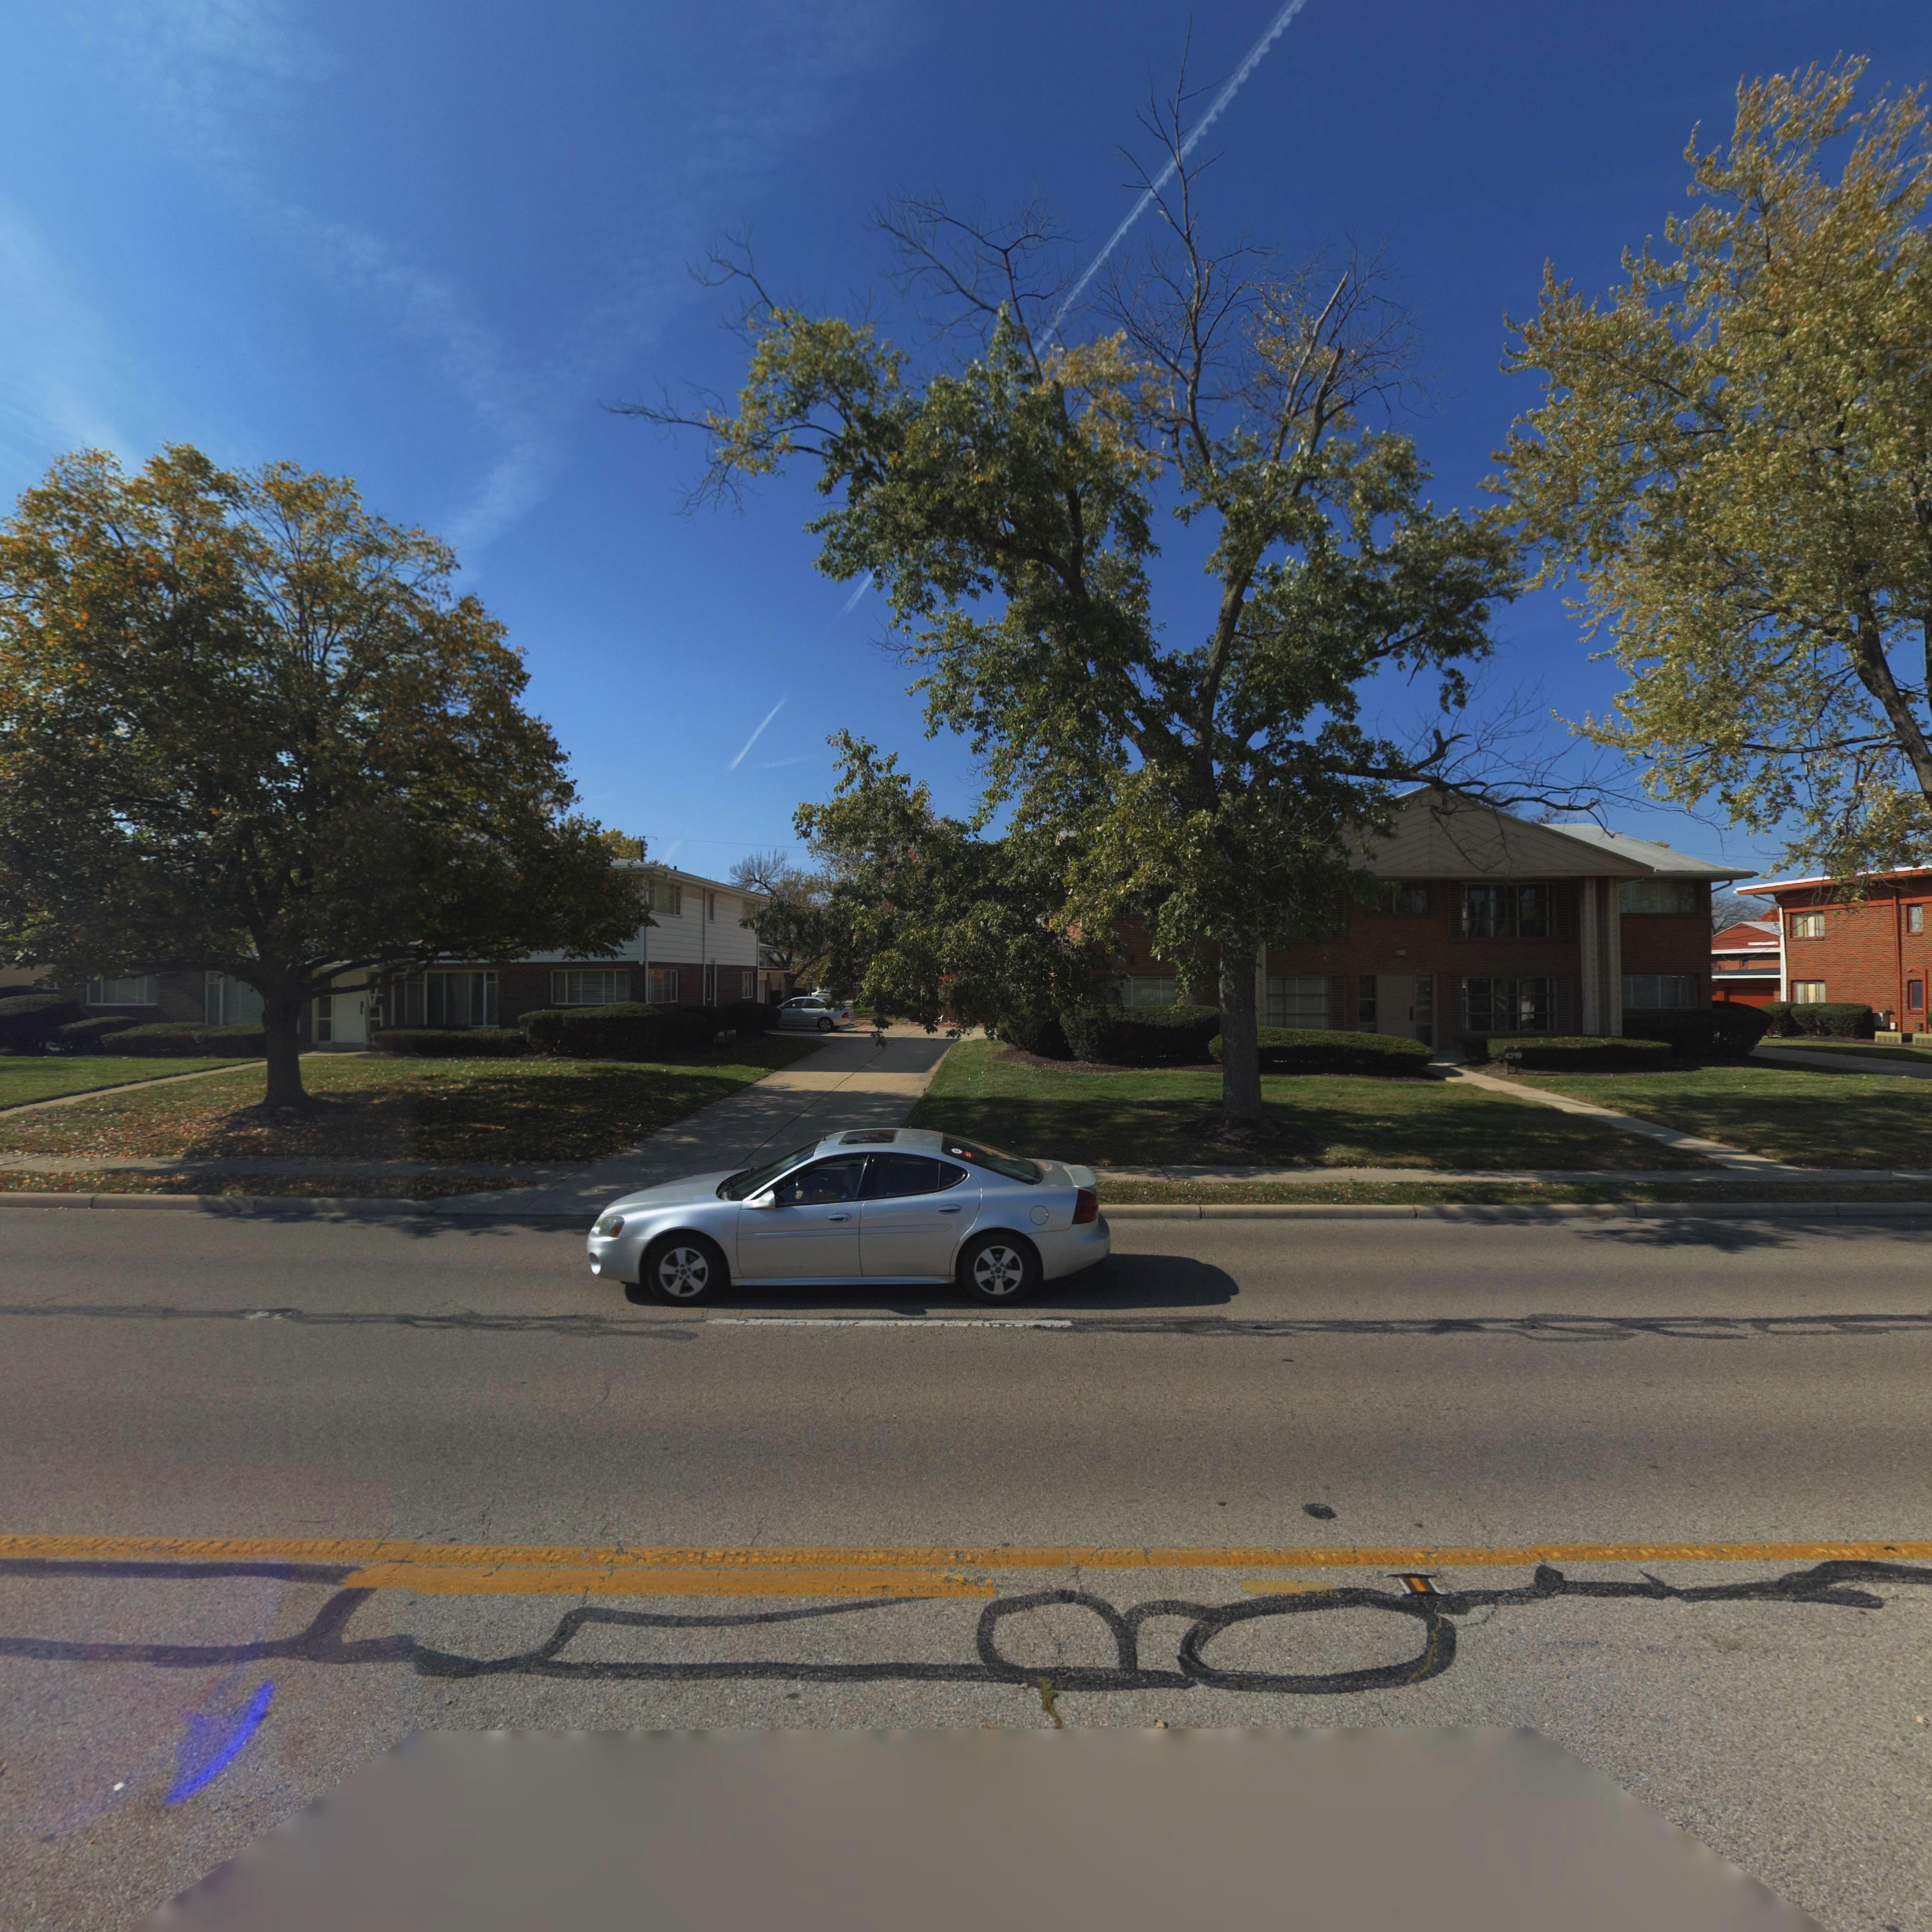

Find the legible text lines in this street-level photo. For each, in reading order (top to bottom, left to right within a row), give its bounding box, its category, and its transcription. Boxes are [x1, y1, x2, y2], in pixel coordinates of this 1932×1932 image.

[1505, 1053, 1523, 1059] StreetNumber: 4219